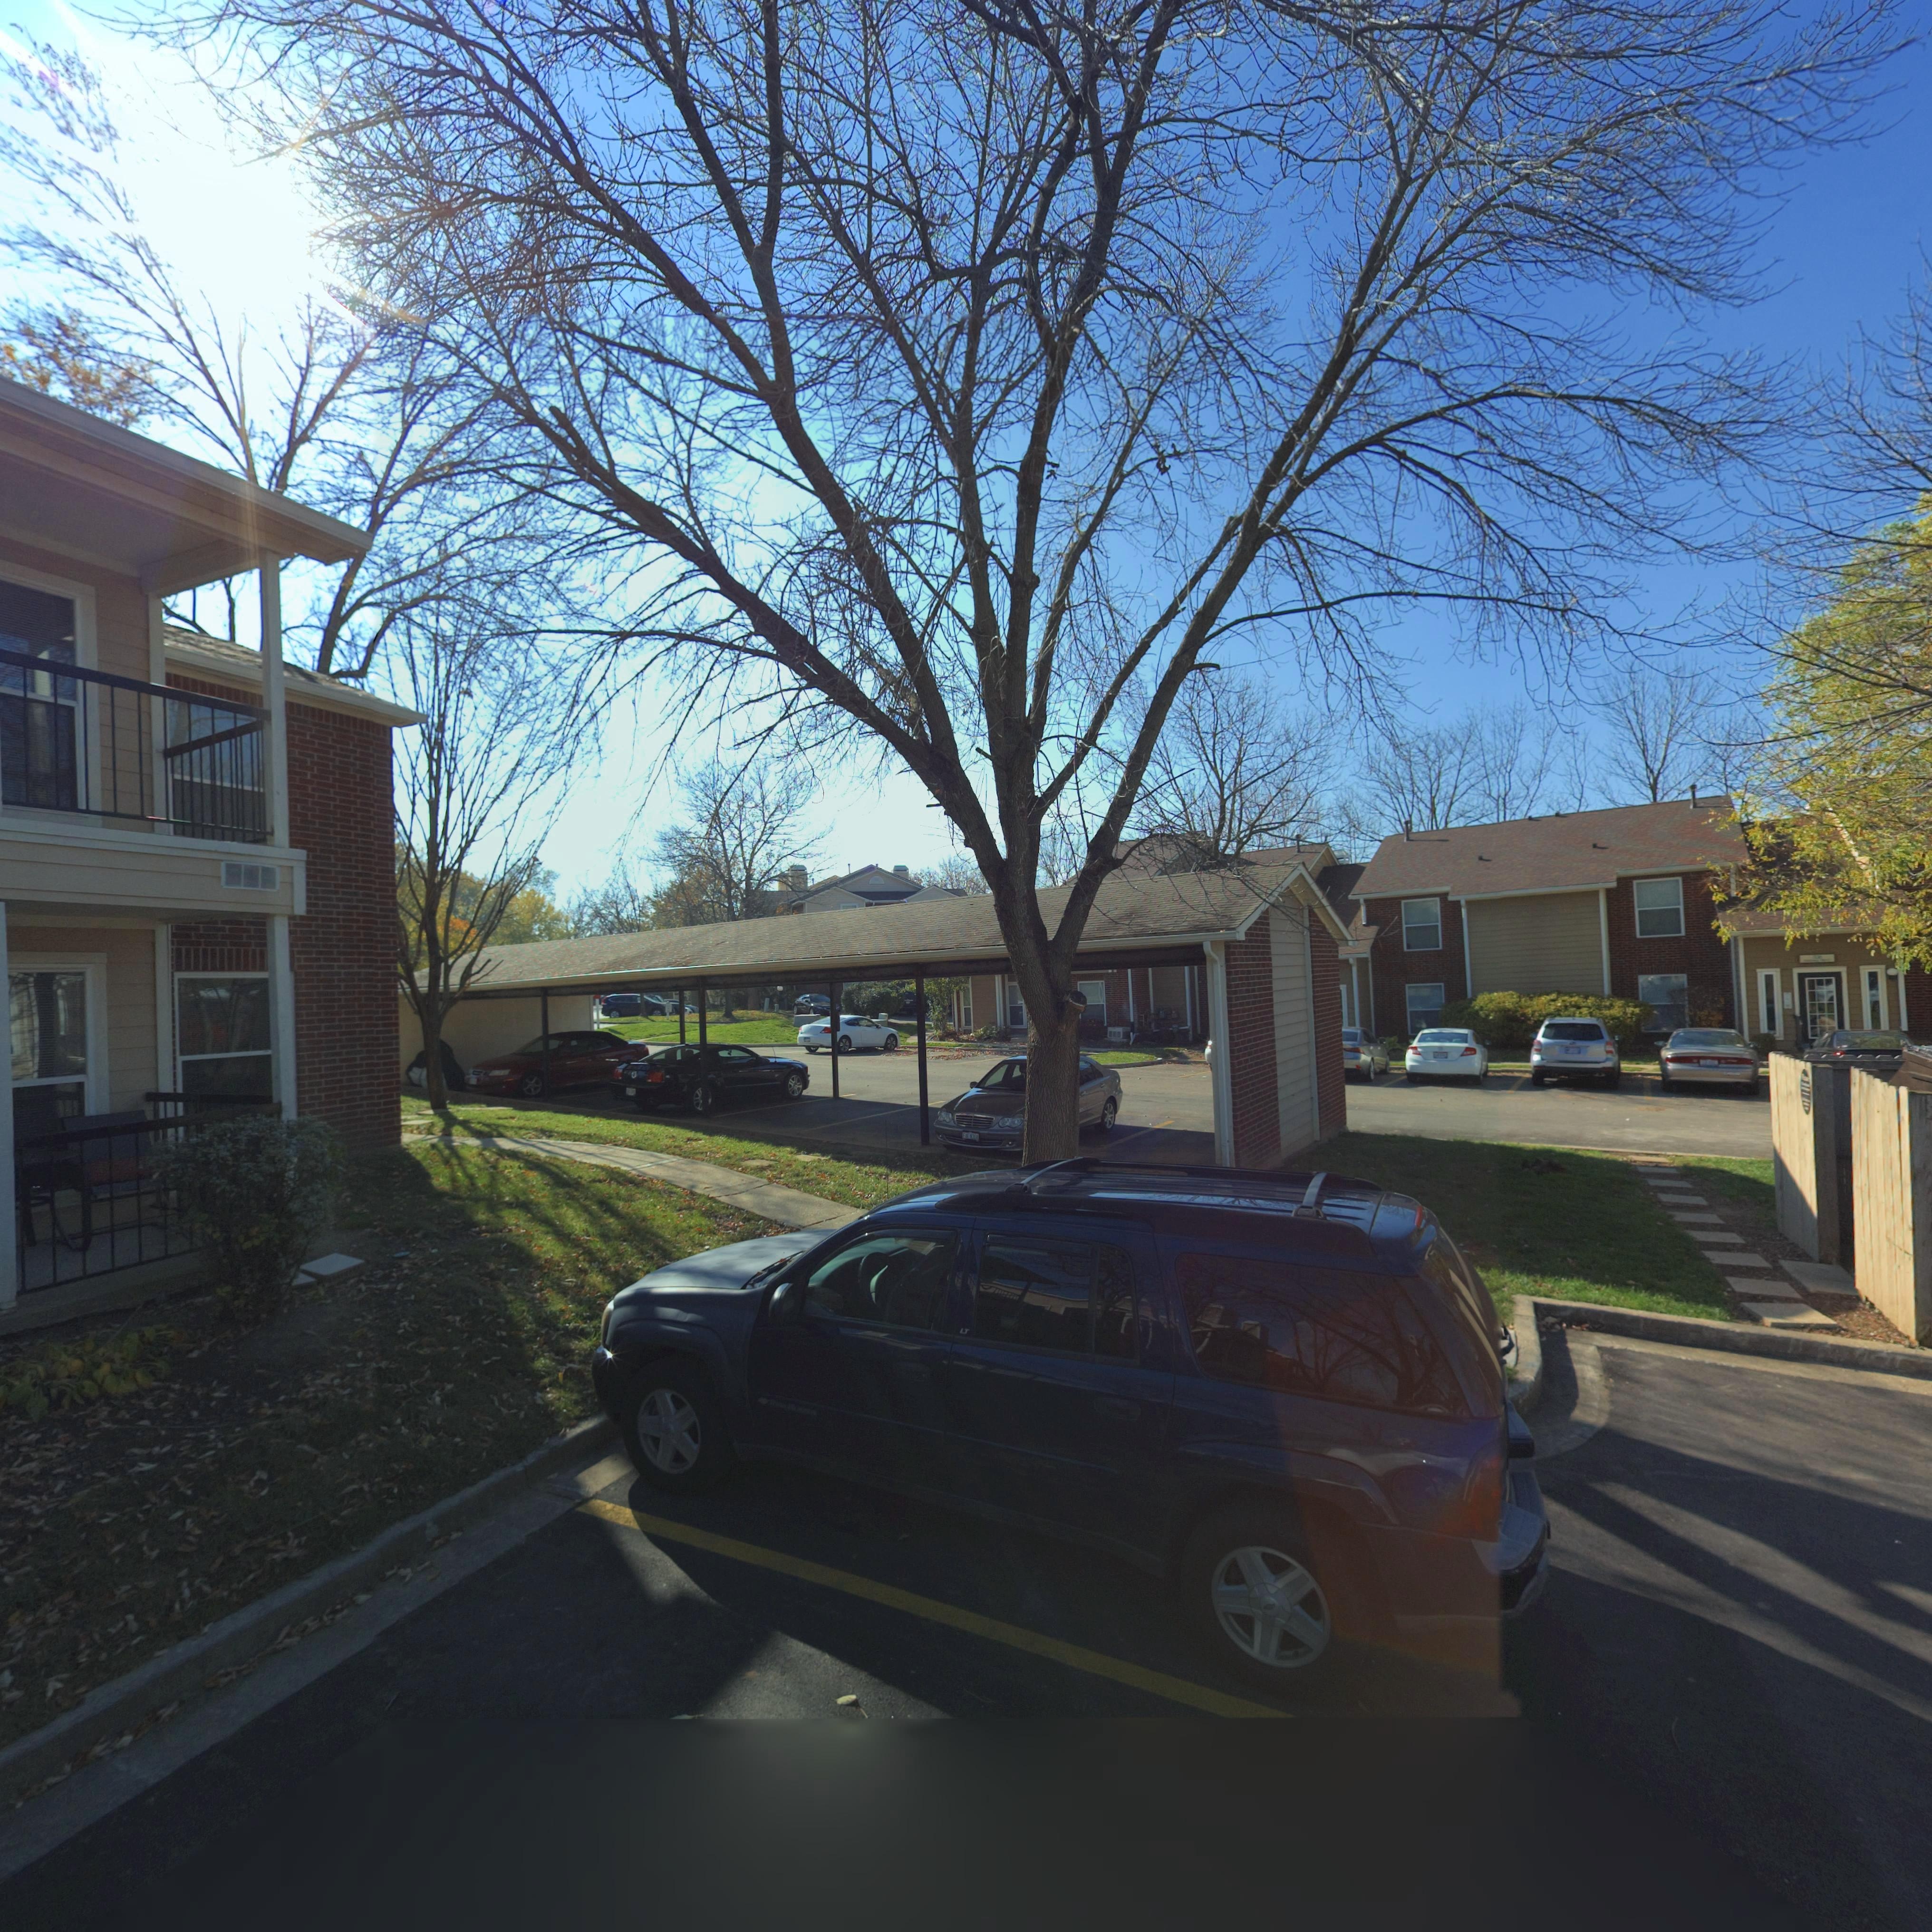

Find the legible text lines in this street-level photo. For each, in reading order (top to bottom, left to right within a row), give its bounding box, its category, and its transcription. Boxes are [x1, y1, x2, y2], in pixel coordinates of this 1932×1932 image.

[958, 1326, 971, 1336] None: LT